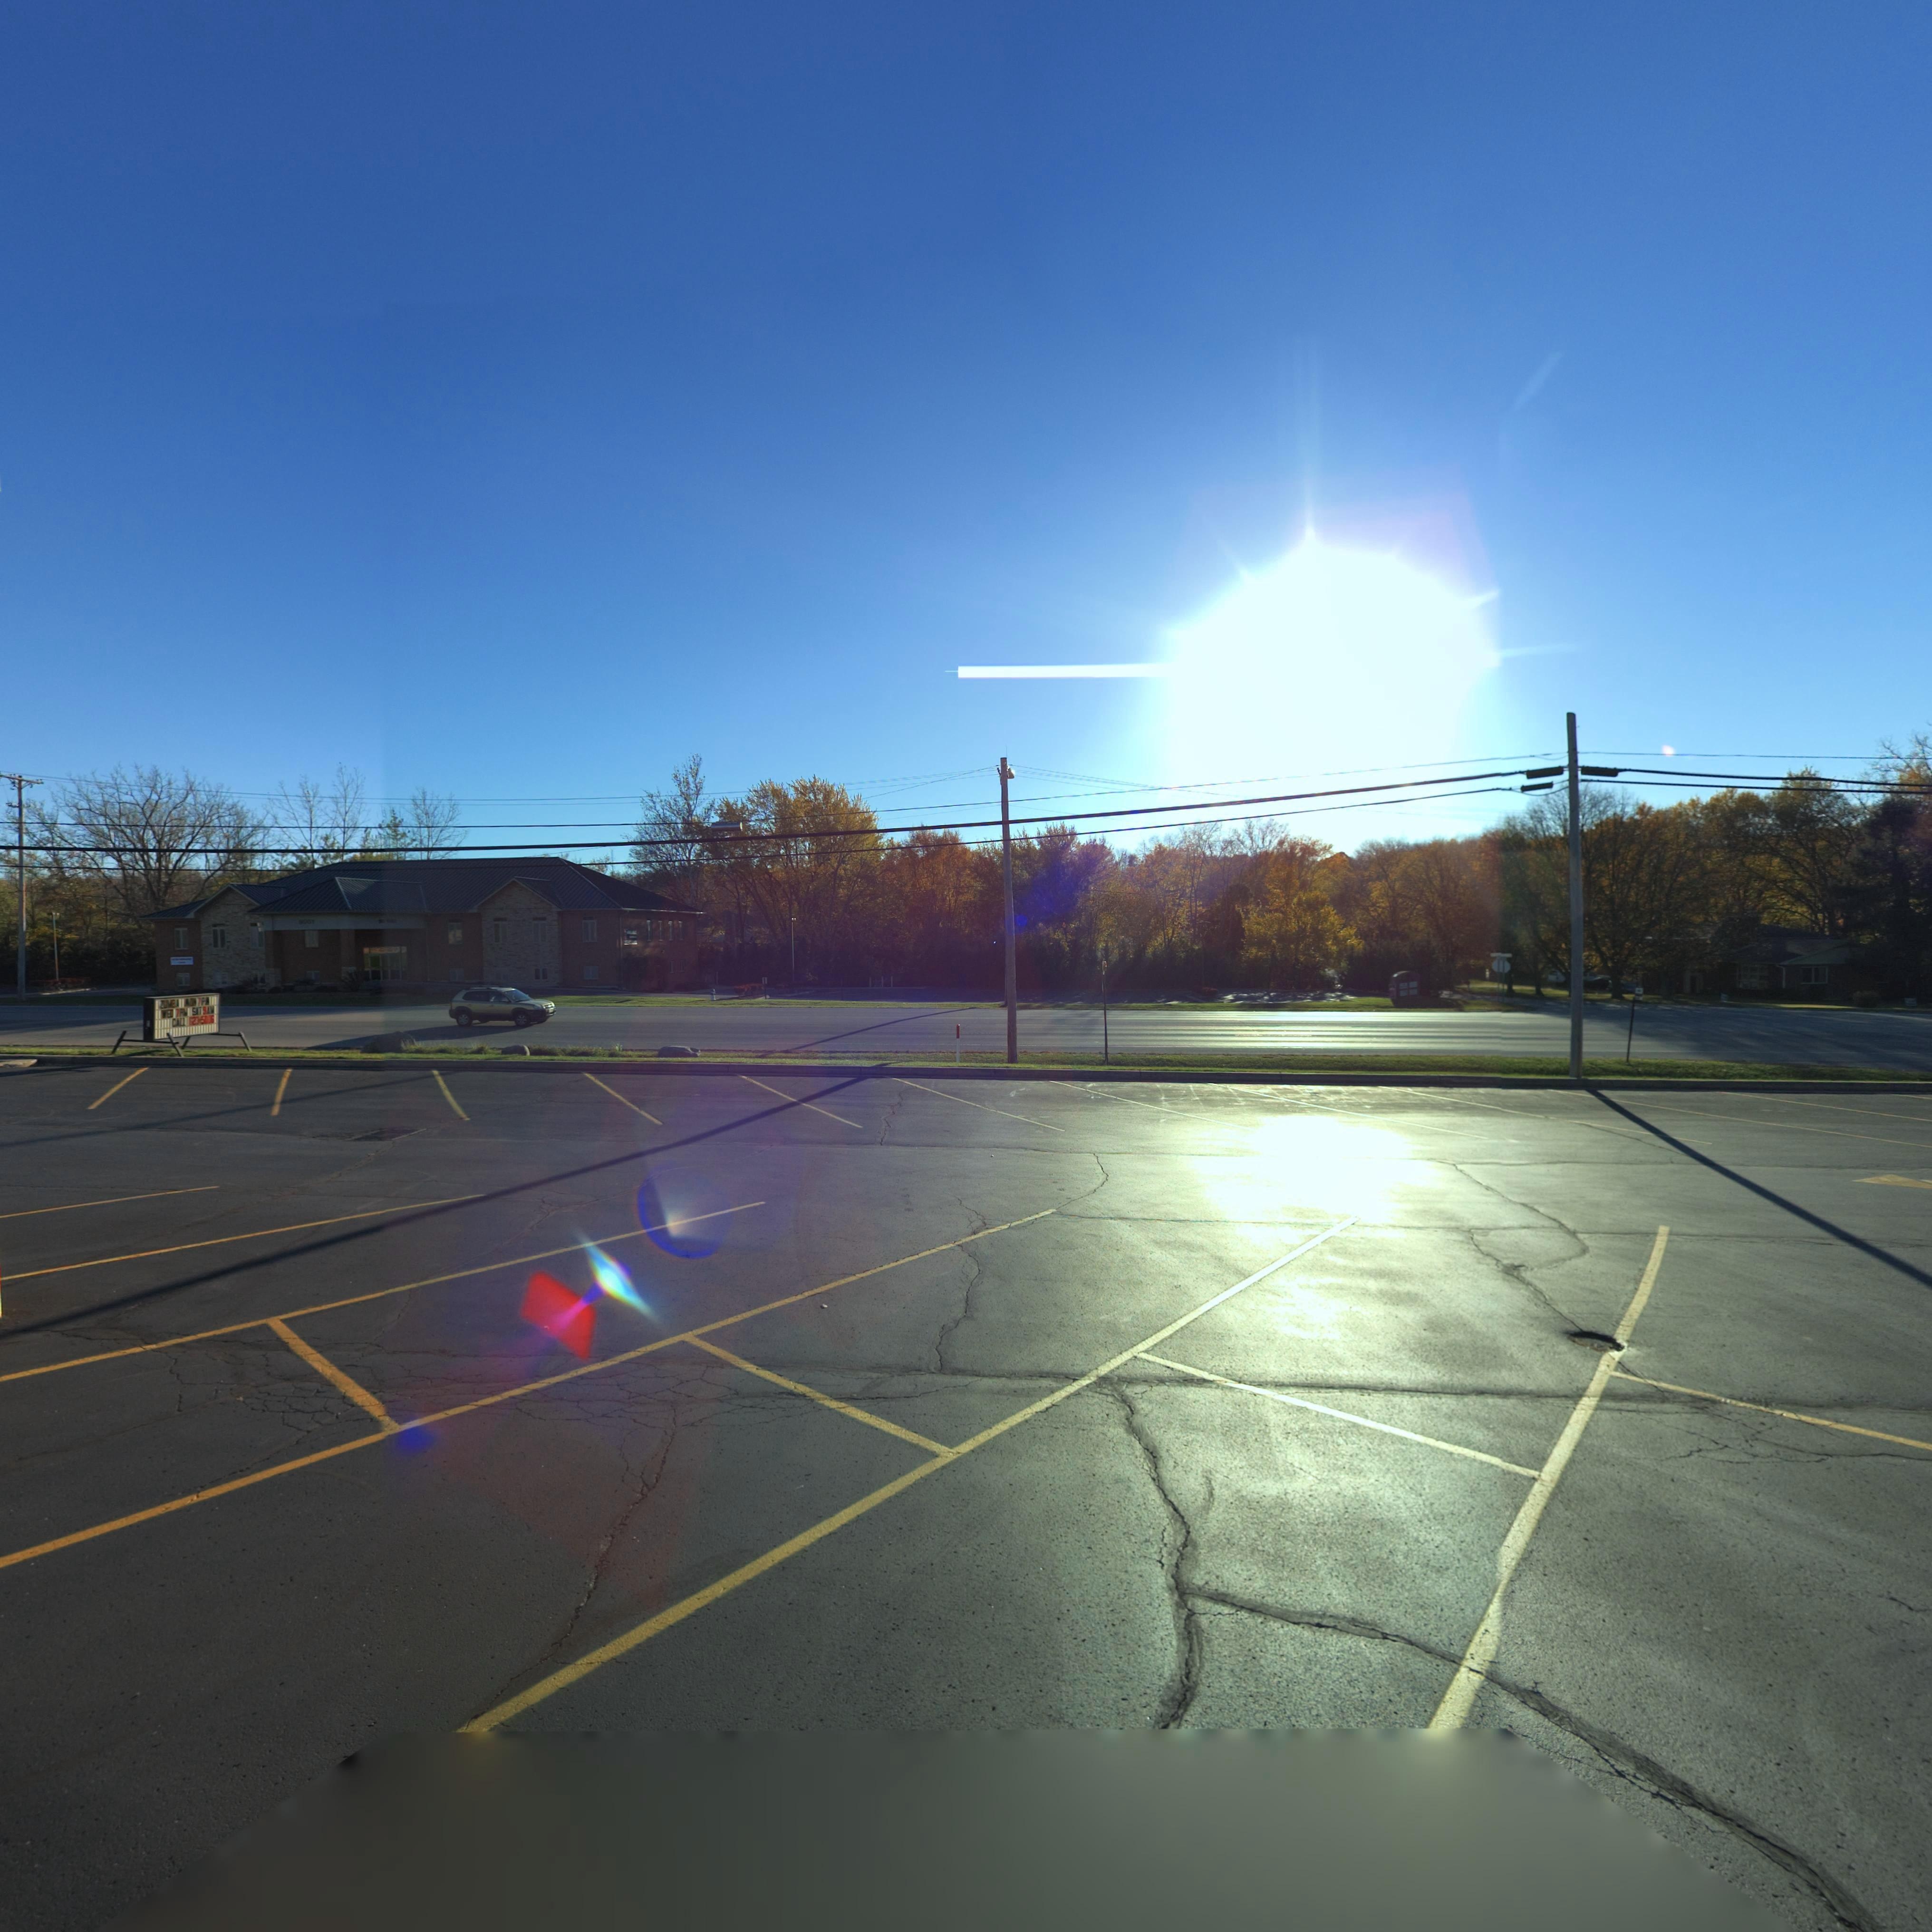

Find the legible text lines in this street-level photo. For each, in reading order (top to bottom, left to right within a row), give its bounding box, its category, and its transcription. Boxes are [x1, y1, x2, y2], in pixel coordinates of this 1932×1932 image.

[298, 918, 315, 925] StreetNumber: 9001